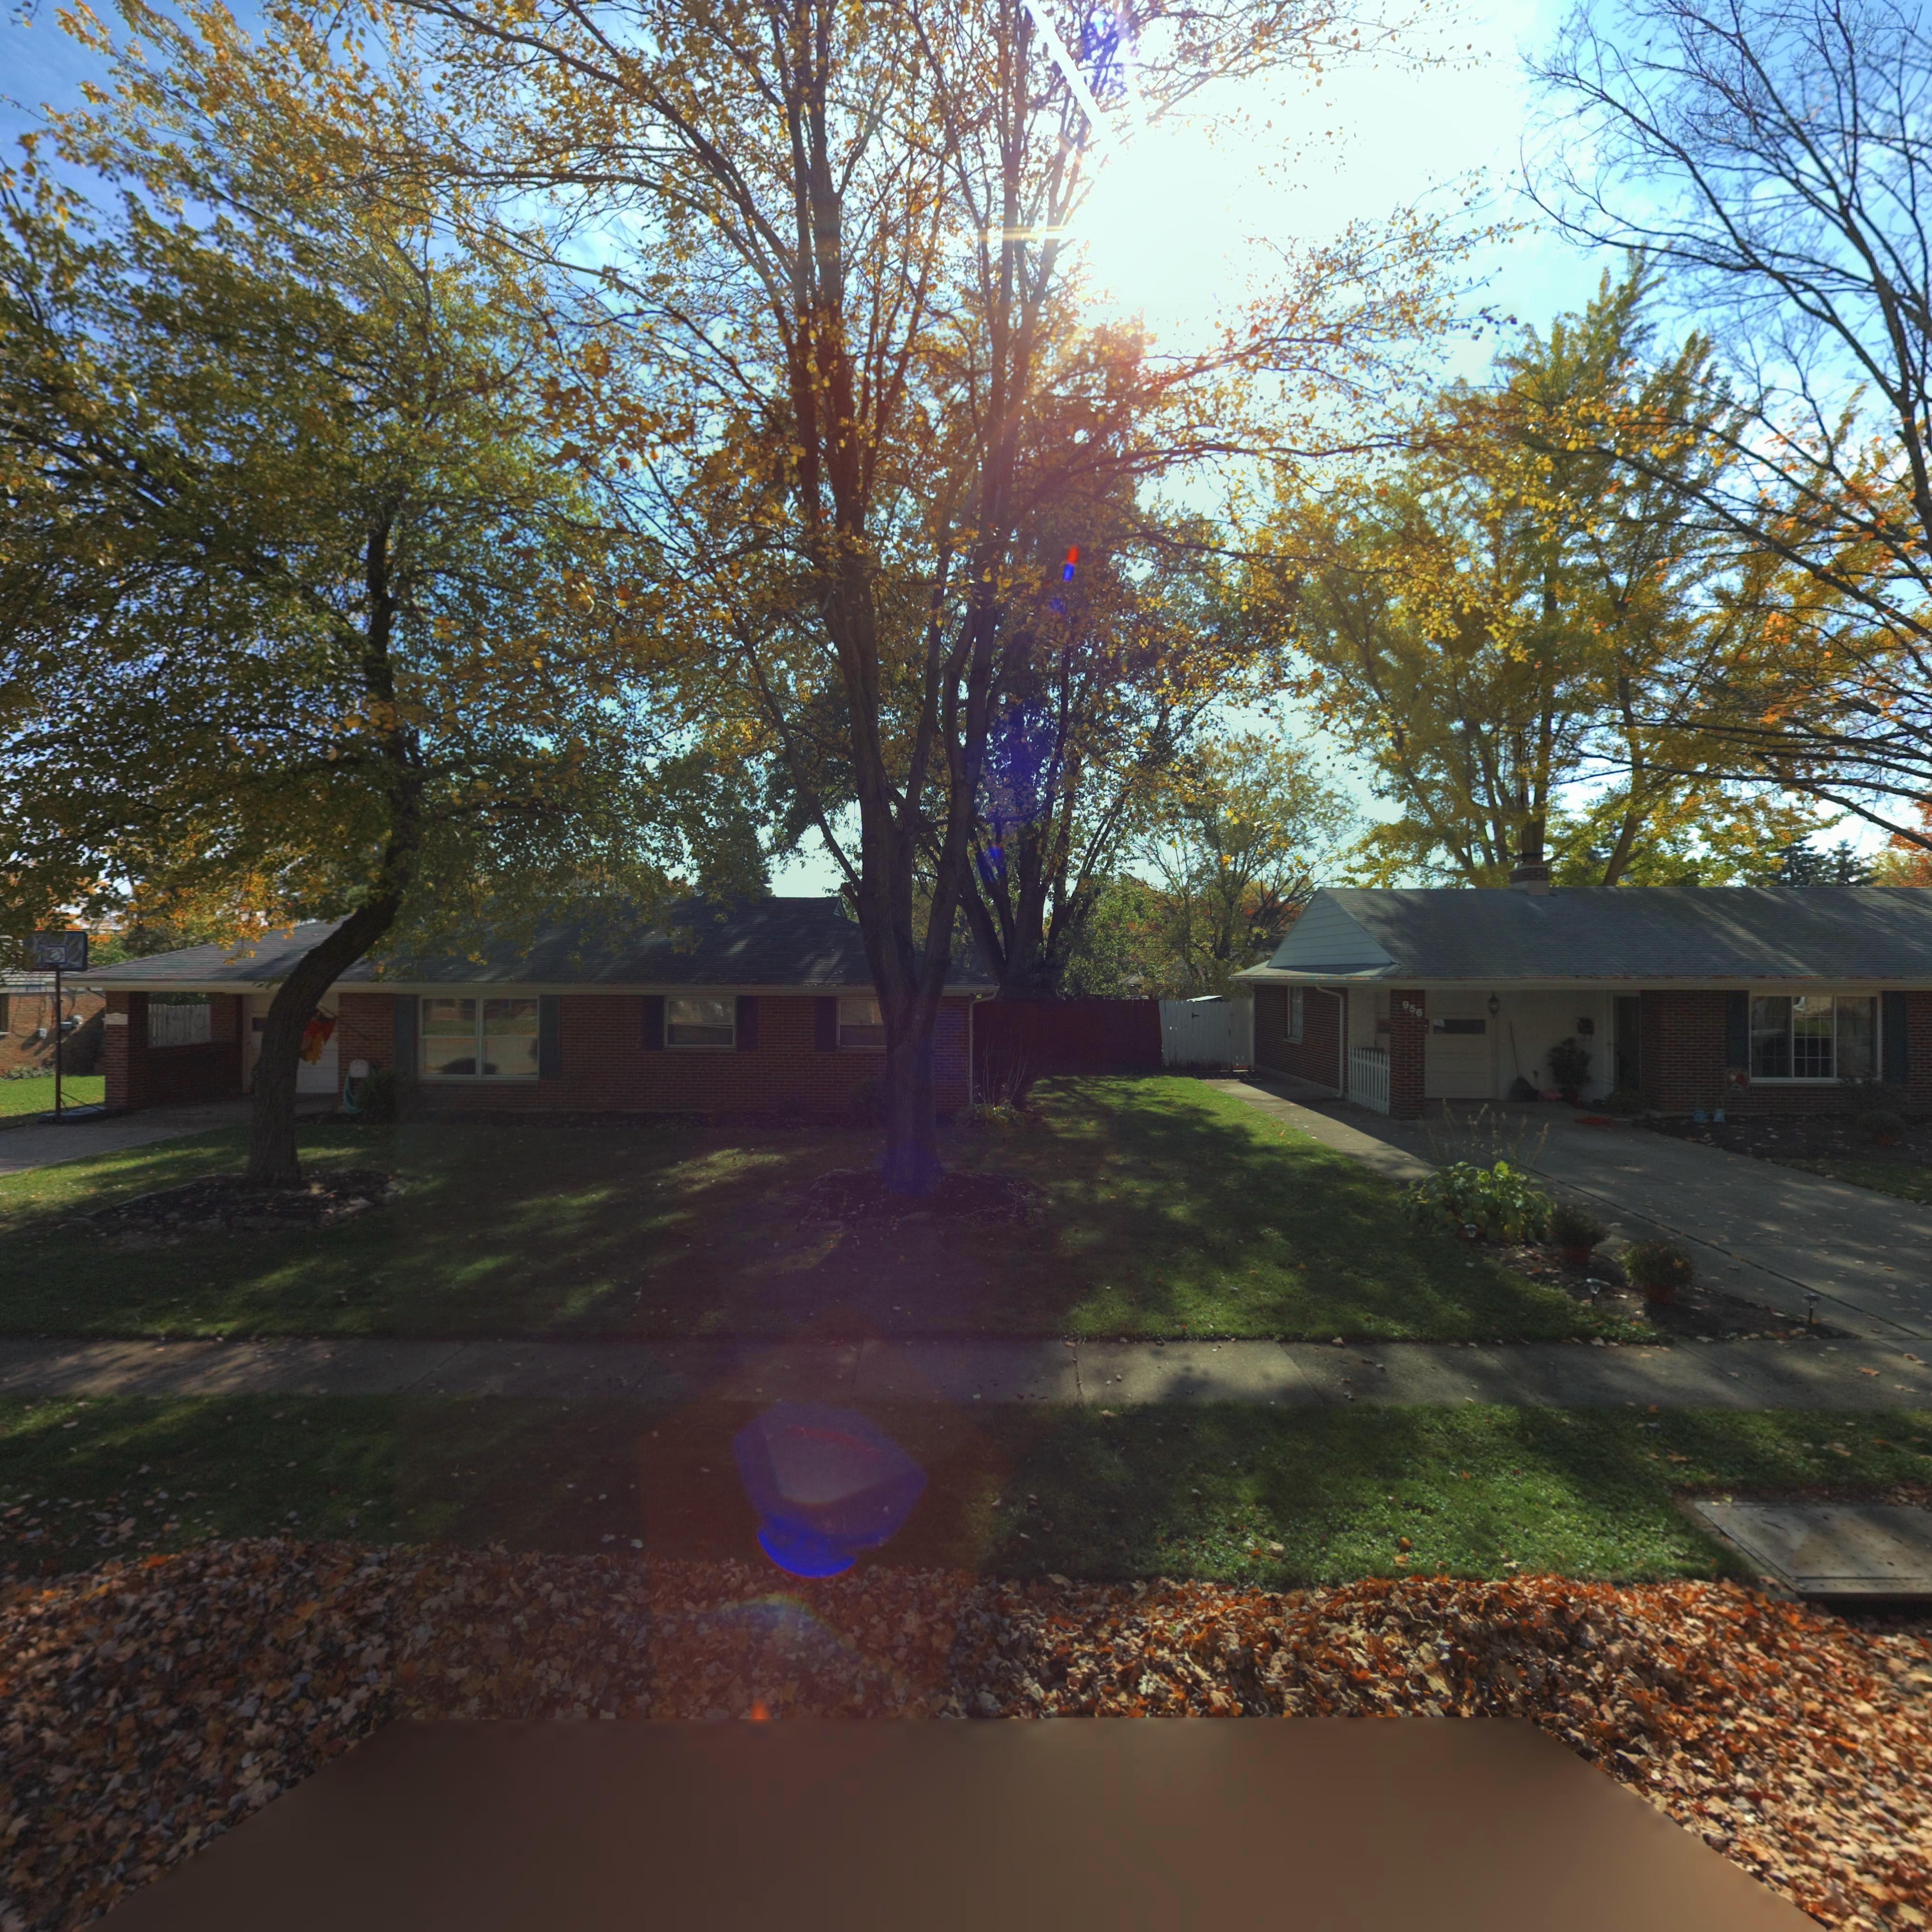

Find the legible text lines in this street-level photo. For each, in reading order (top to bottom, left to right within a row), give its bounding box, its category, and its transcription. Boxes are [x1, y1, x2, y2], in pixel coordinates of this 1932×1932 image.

[1401, 999, 1423, 1018] StreetNumber: 956